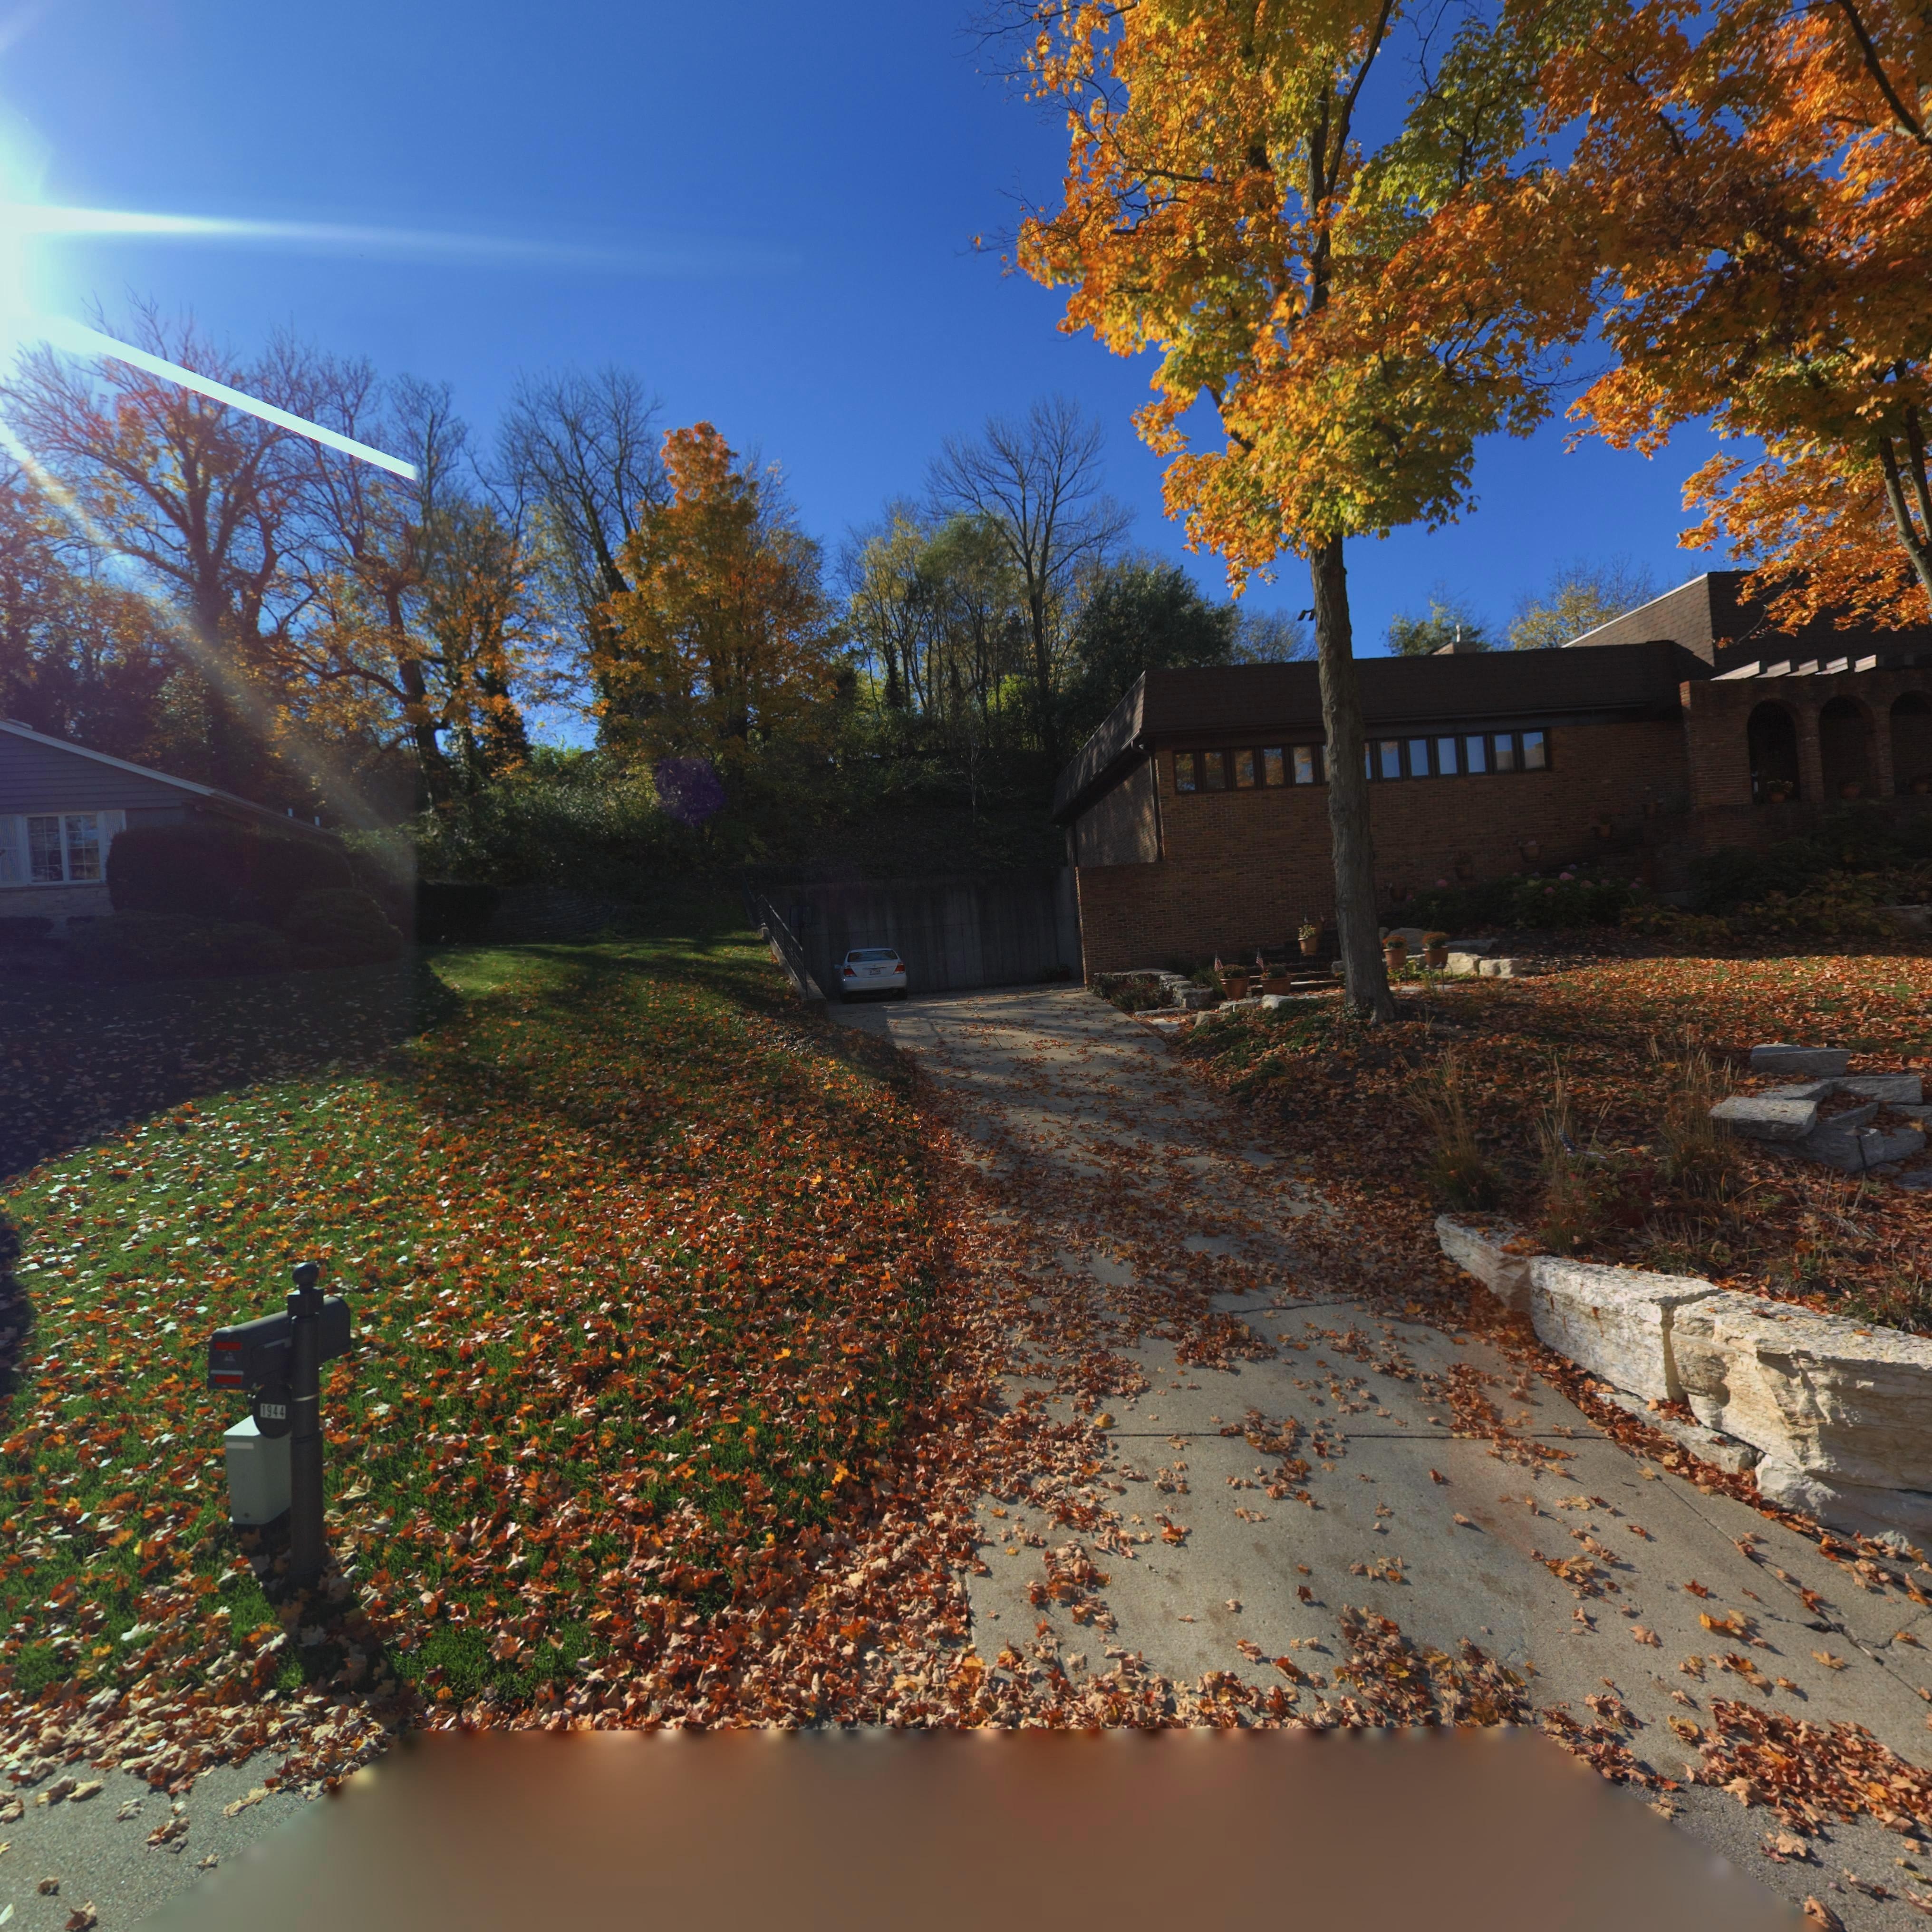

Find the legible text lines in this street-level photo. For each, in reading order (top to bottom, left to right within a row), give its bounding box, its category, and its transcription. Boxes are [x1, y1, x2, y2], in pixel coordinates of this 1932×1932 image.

[262, 1404, 284, 1418] StreetNumber: 1944